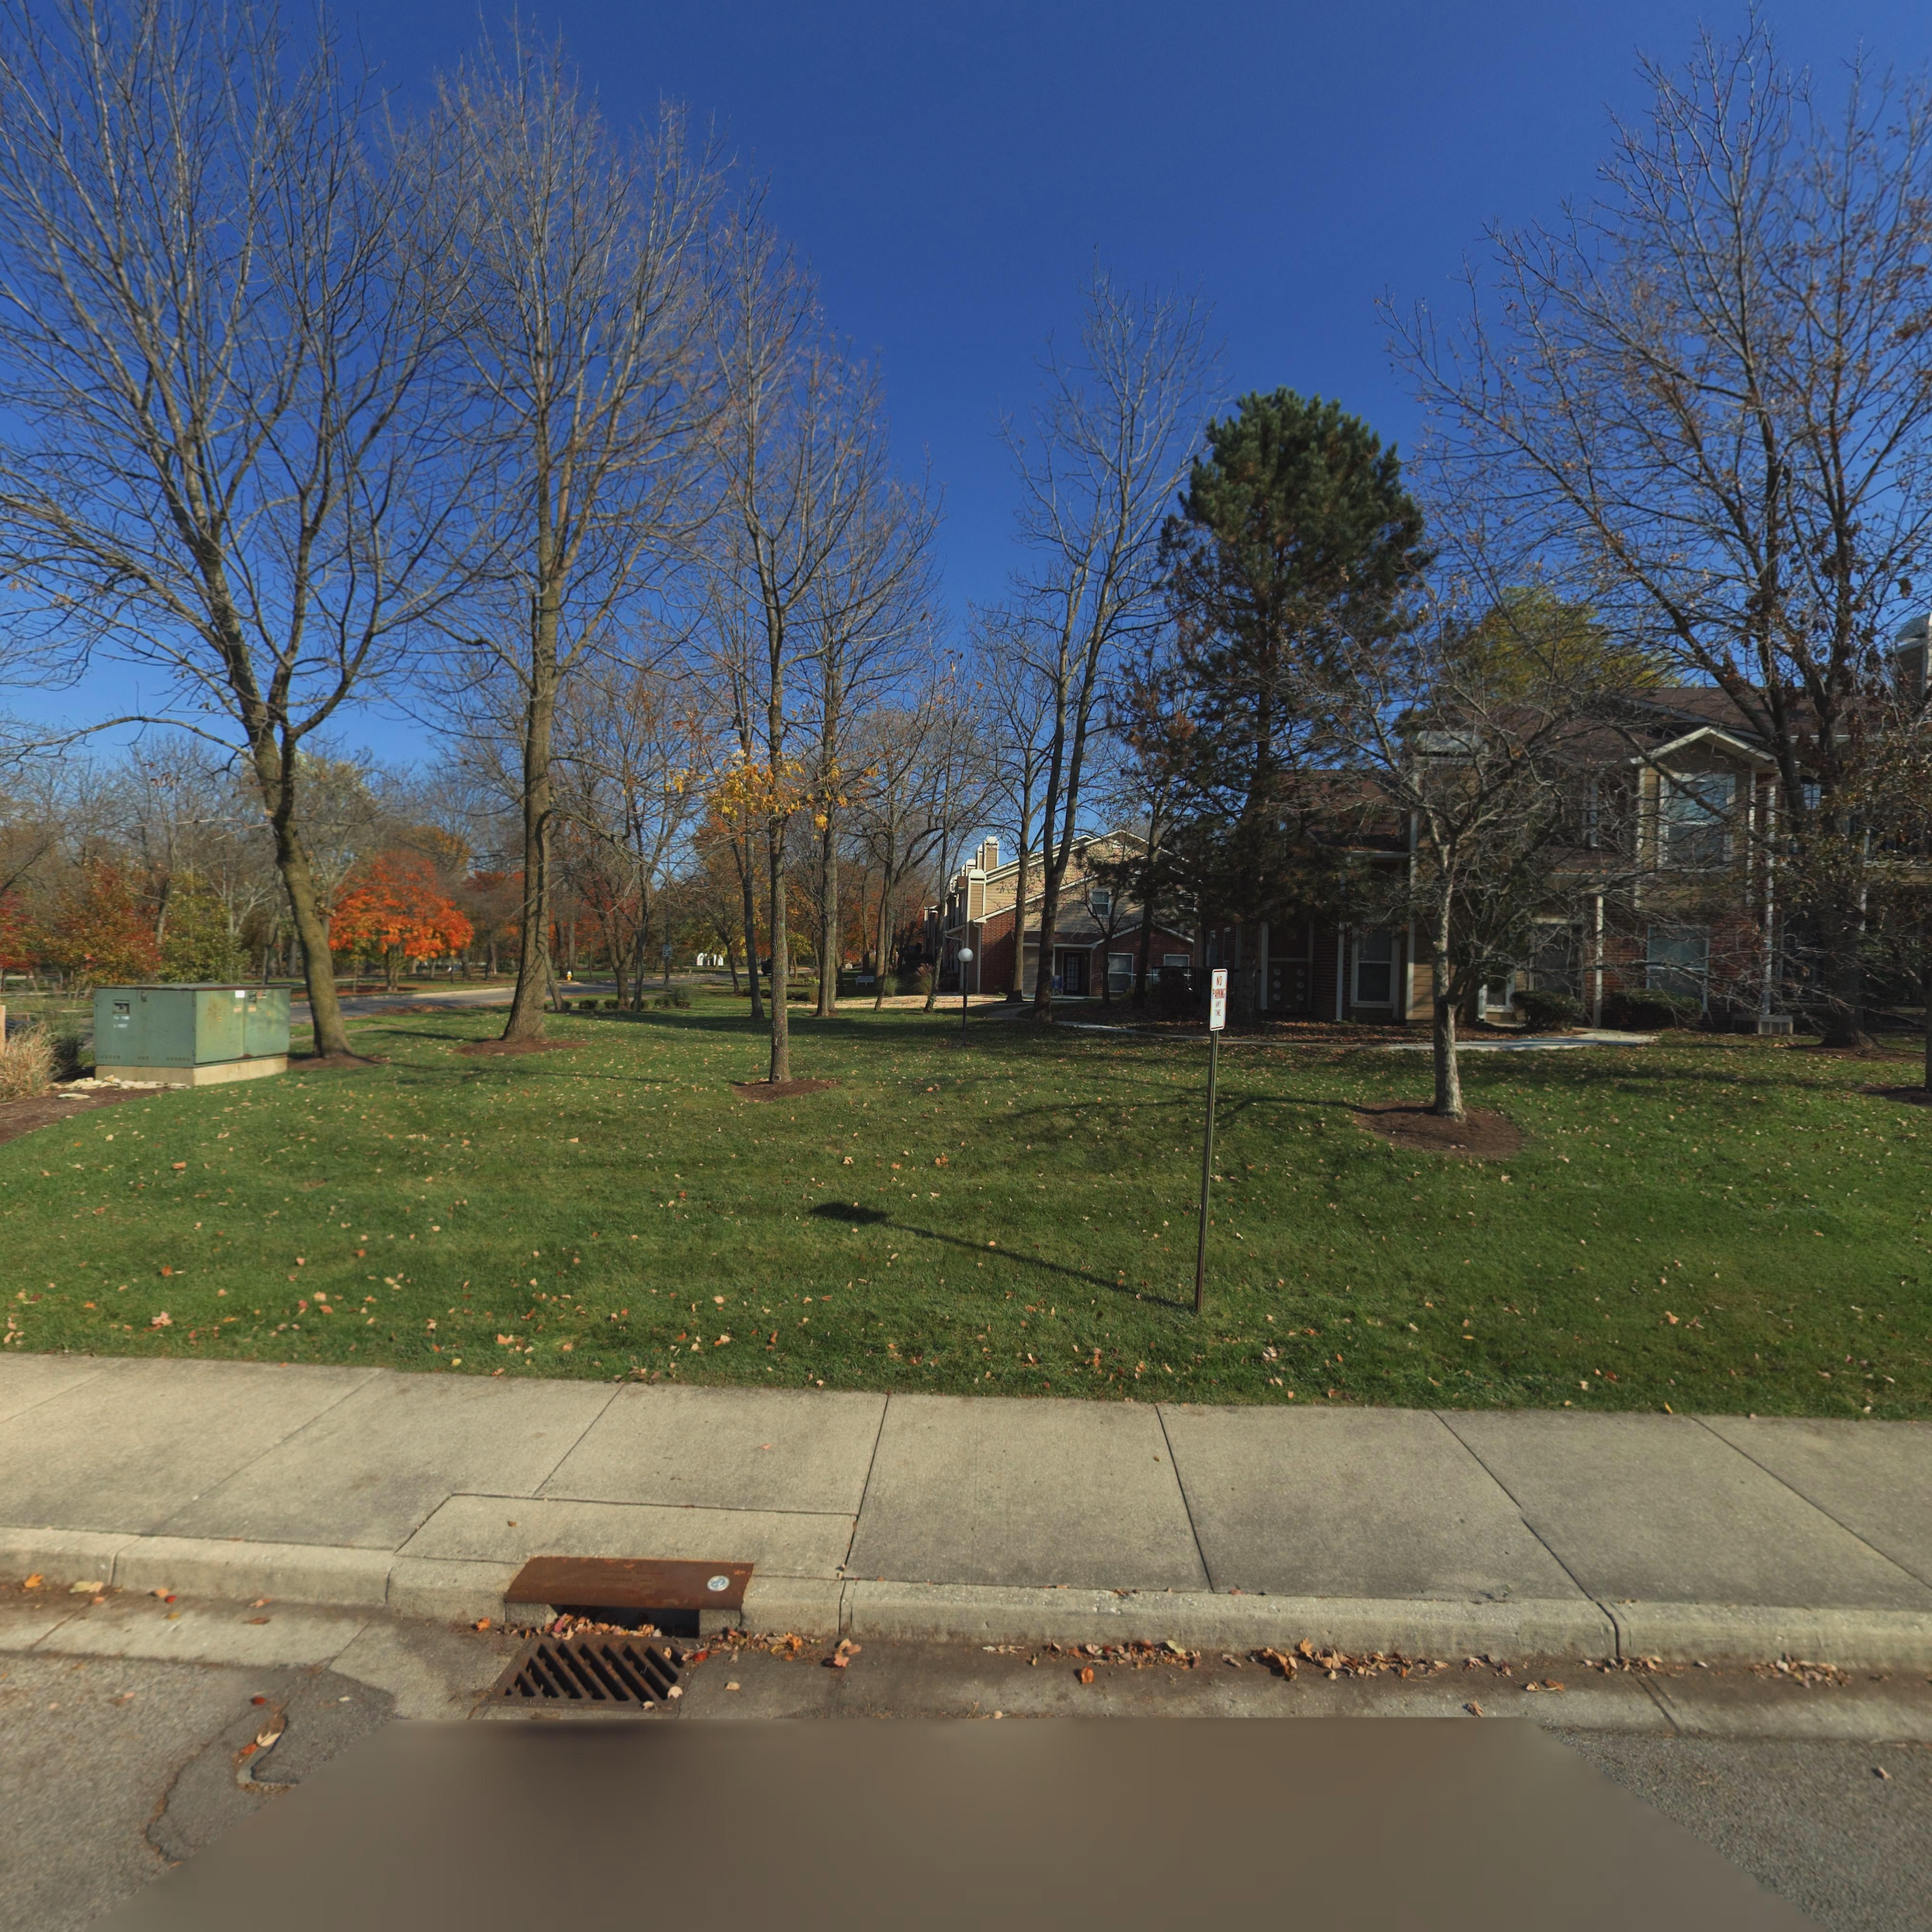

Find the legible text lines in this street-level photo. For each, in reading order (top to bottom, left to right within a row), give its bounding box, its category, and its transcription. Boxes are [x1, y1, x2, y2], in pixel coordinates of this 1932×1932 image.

[1216, 975, 1222, 985] None: NO
[1212, 988, 1225, 998] None: PARKING
[1215, 1000, 1221, 1007] None: ANY
[1215, 1009, 1221, 1016] None: TIME